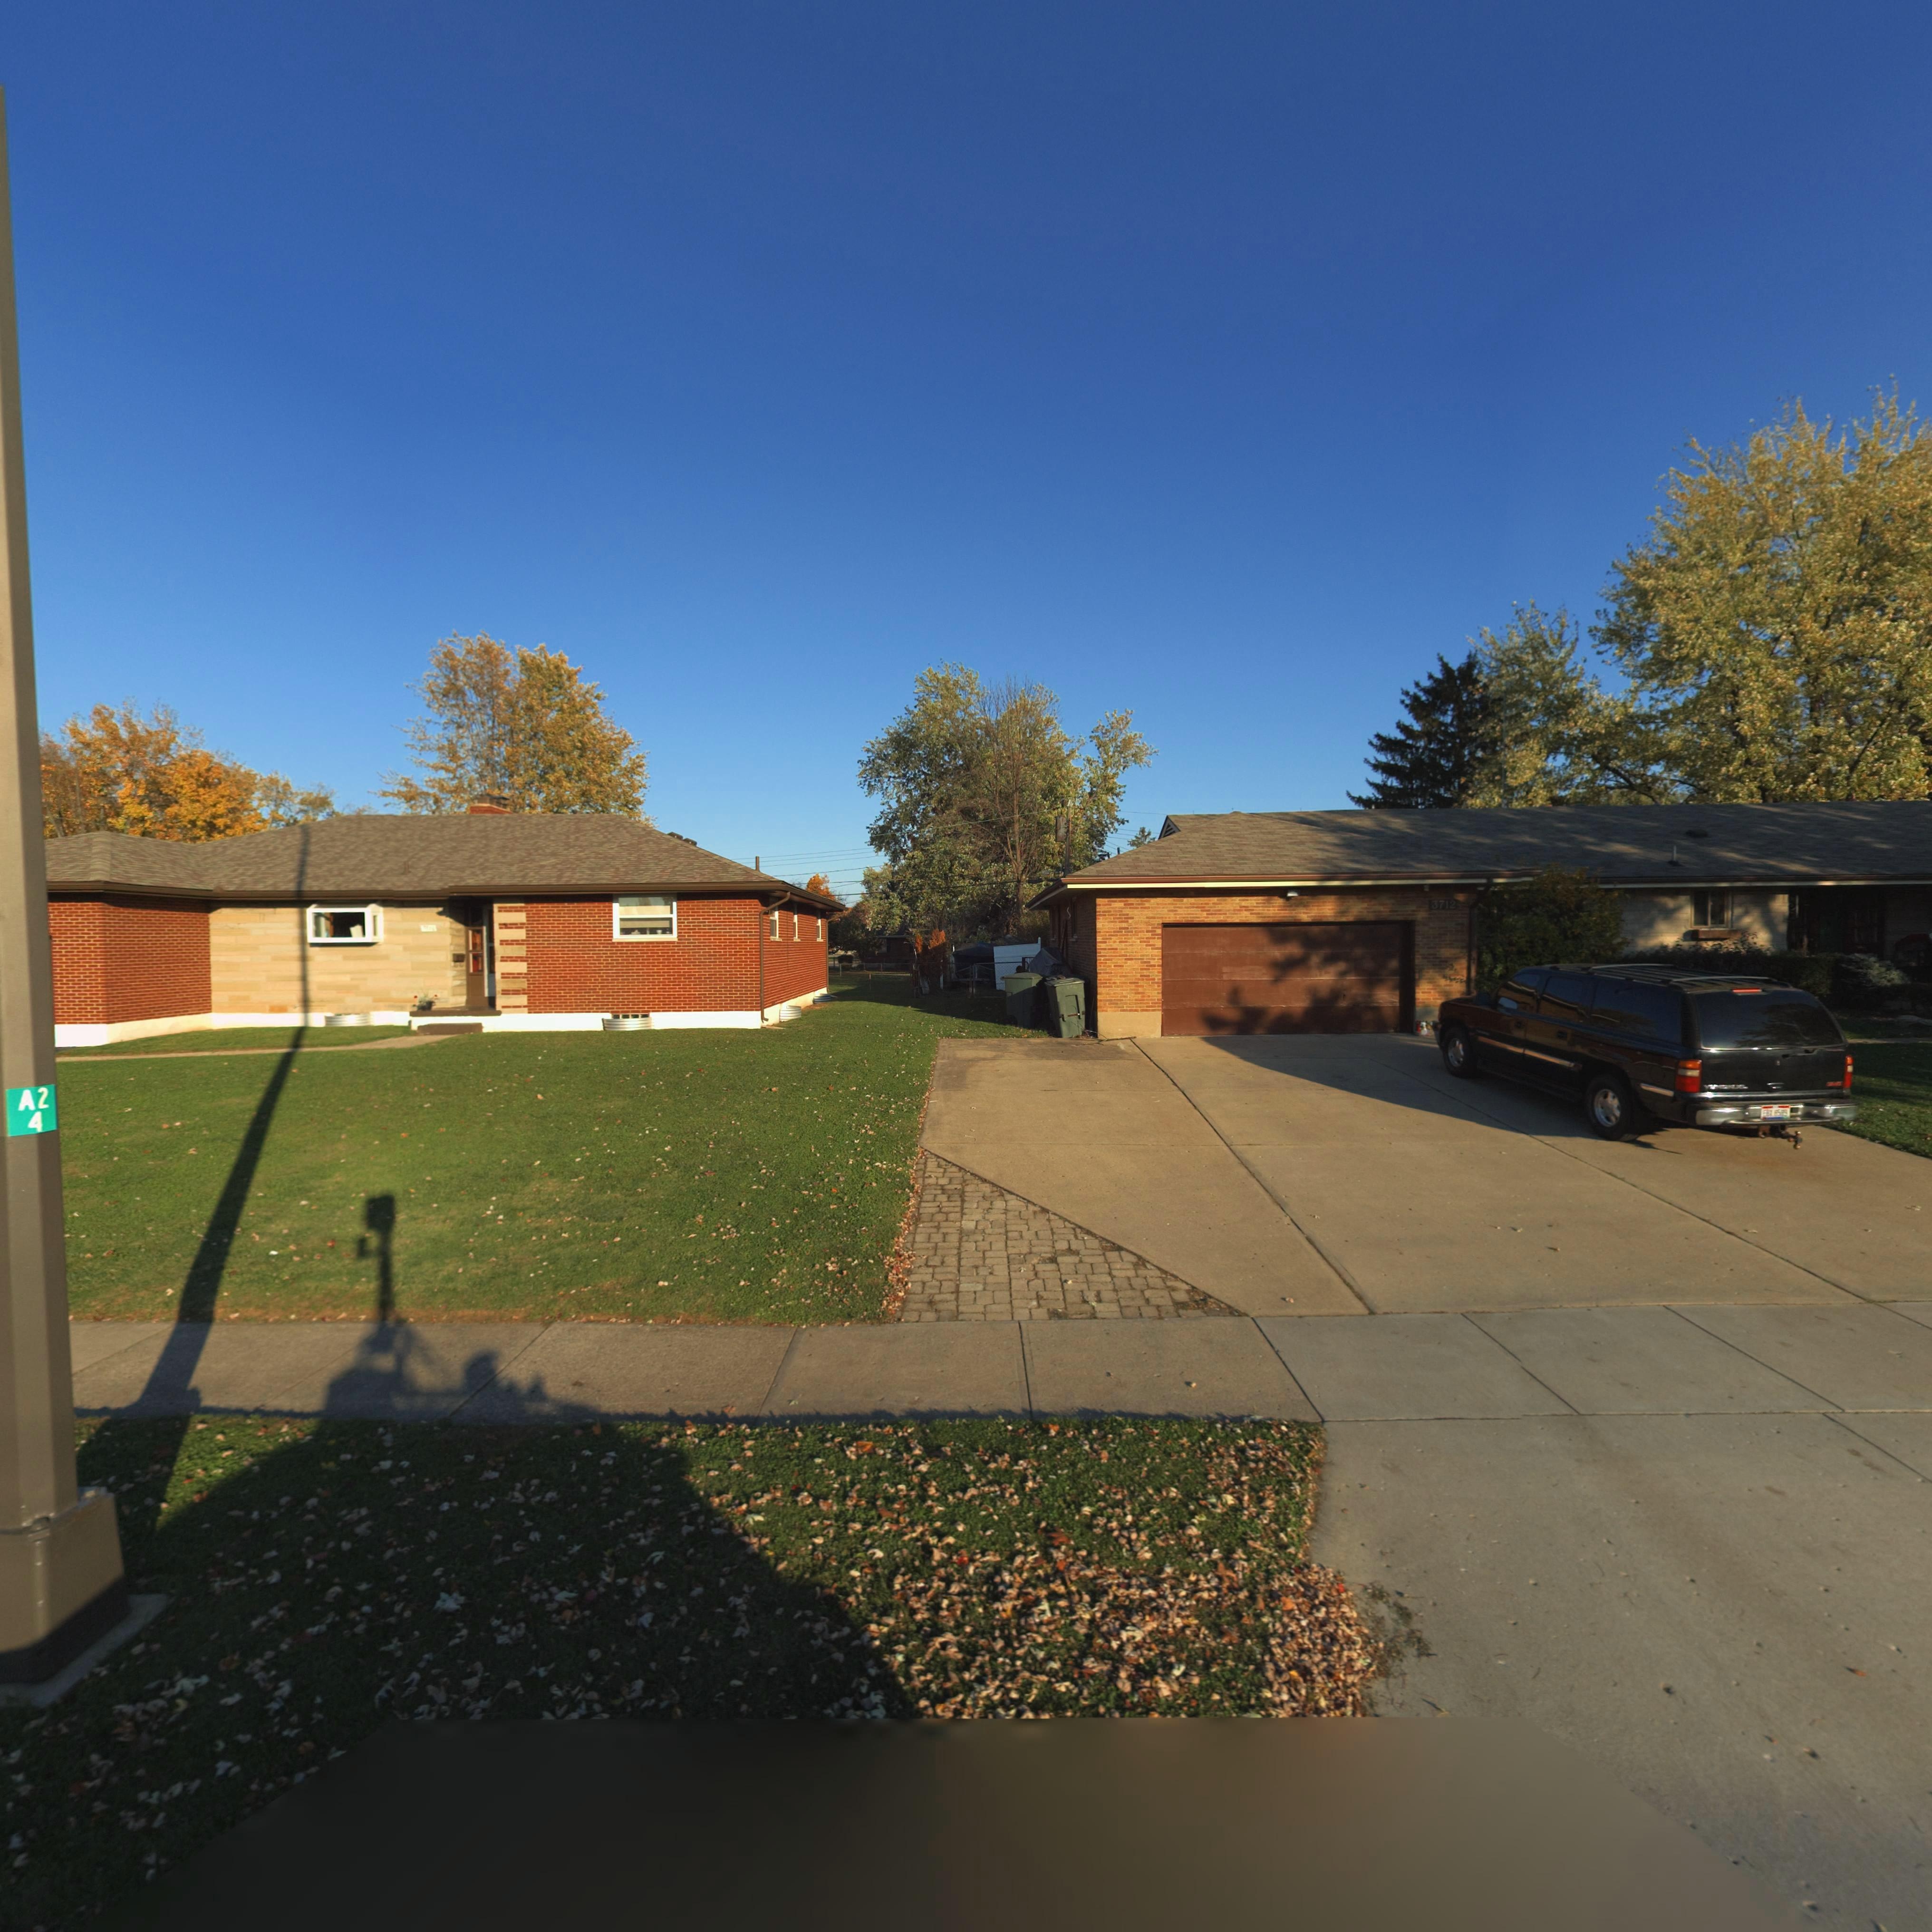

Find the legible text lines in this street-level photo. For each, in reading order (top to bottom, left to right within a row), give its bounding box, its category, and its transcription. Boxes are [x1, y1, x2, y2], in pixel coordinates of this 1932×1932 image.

[1430, 900, 1456, 909] StreetNumber: 3712